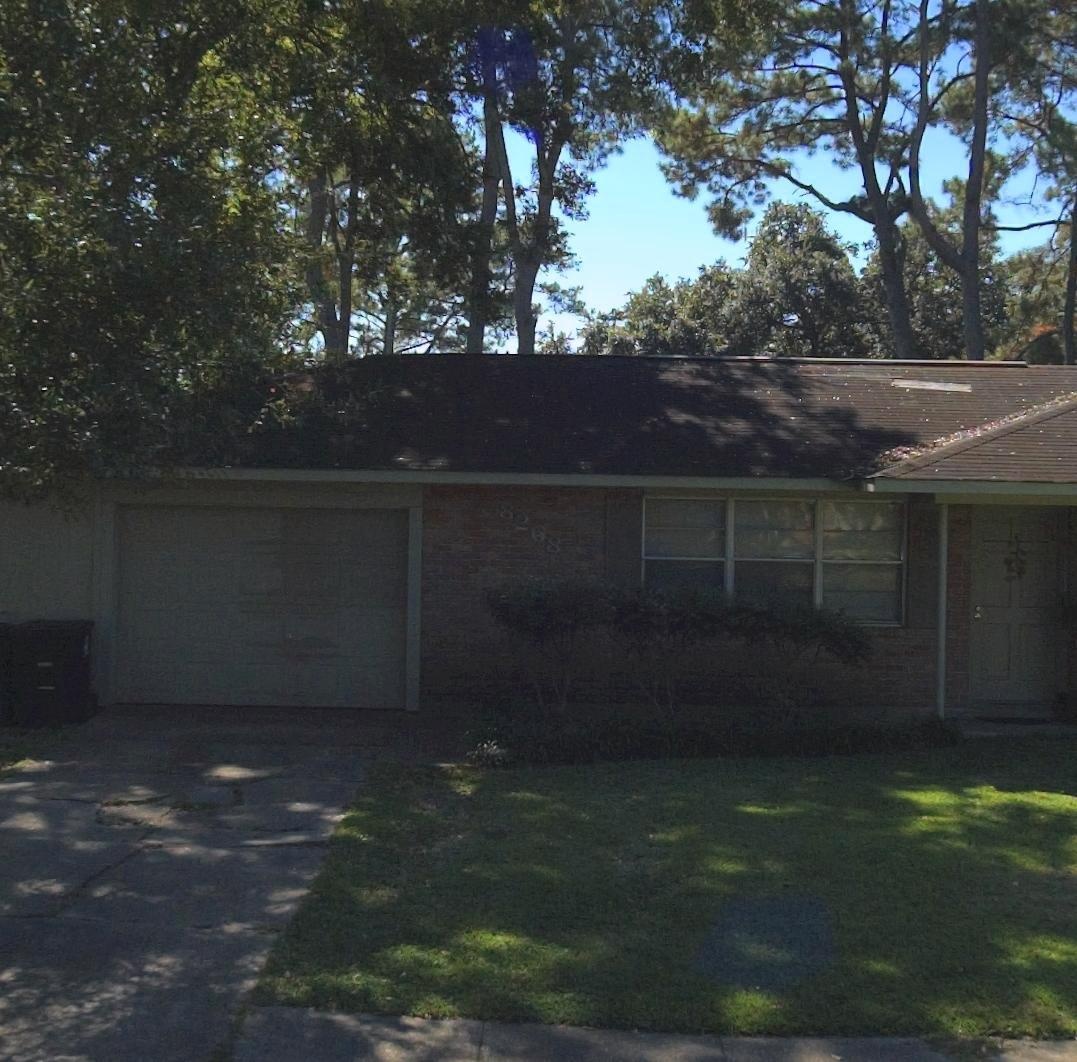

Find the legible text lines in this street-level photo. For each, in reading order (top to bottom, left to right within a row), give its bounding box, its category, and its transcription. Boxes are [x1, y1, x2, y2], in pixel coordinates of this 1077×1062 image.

[498, 499, 563, 556] StreetNumber: 8268